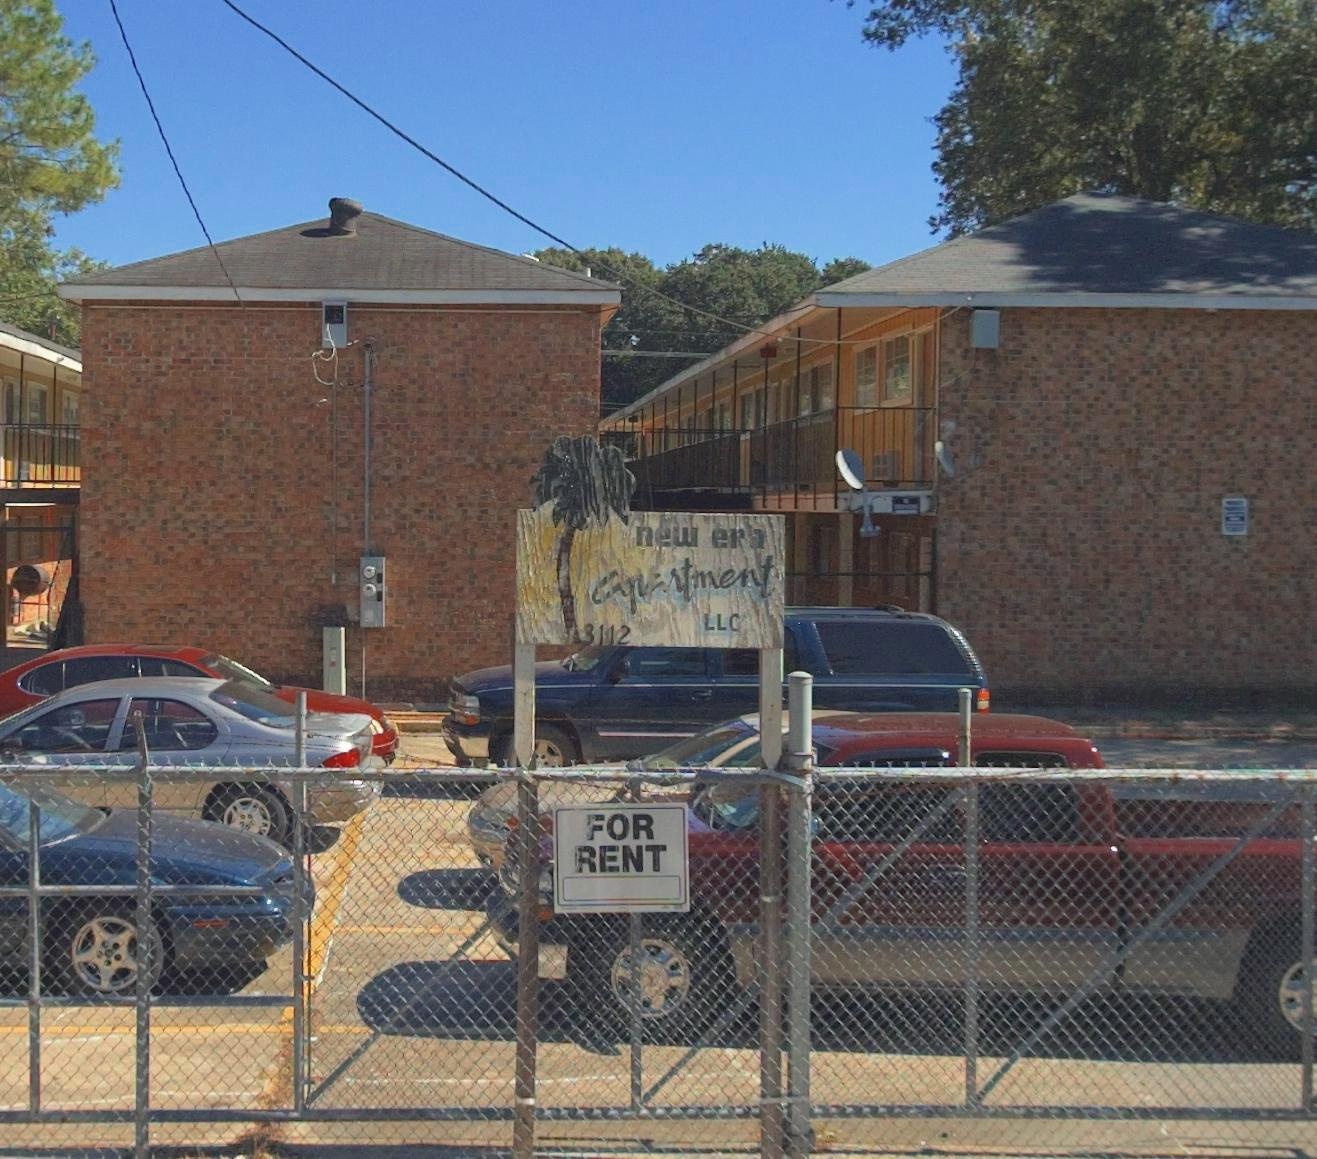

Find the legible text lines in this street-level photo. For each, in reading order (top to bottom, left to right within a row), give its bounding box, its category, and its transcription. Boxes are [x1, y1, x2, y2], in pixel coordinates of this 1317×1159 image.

[634, 524, 768, 551] BusinessName: new era
[589, 553, 777, 617] BusinessName: apartment
[581, 621, 634, 647] StreetNumber: 3112
[702, 610, 743, 634] BusinessName: LLC
[583, 811, 658, 843] None: FOR
[571, 842, 671, 876] None: RENT